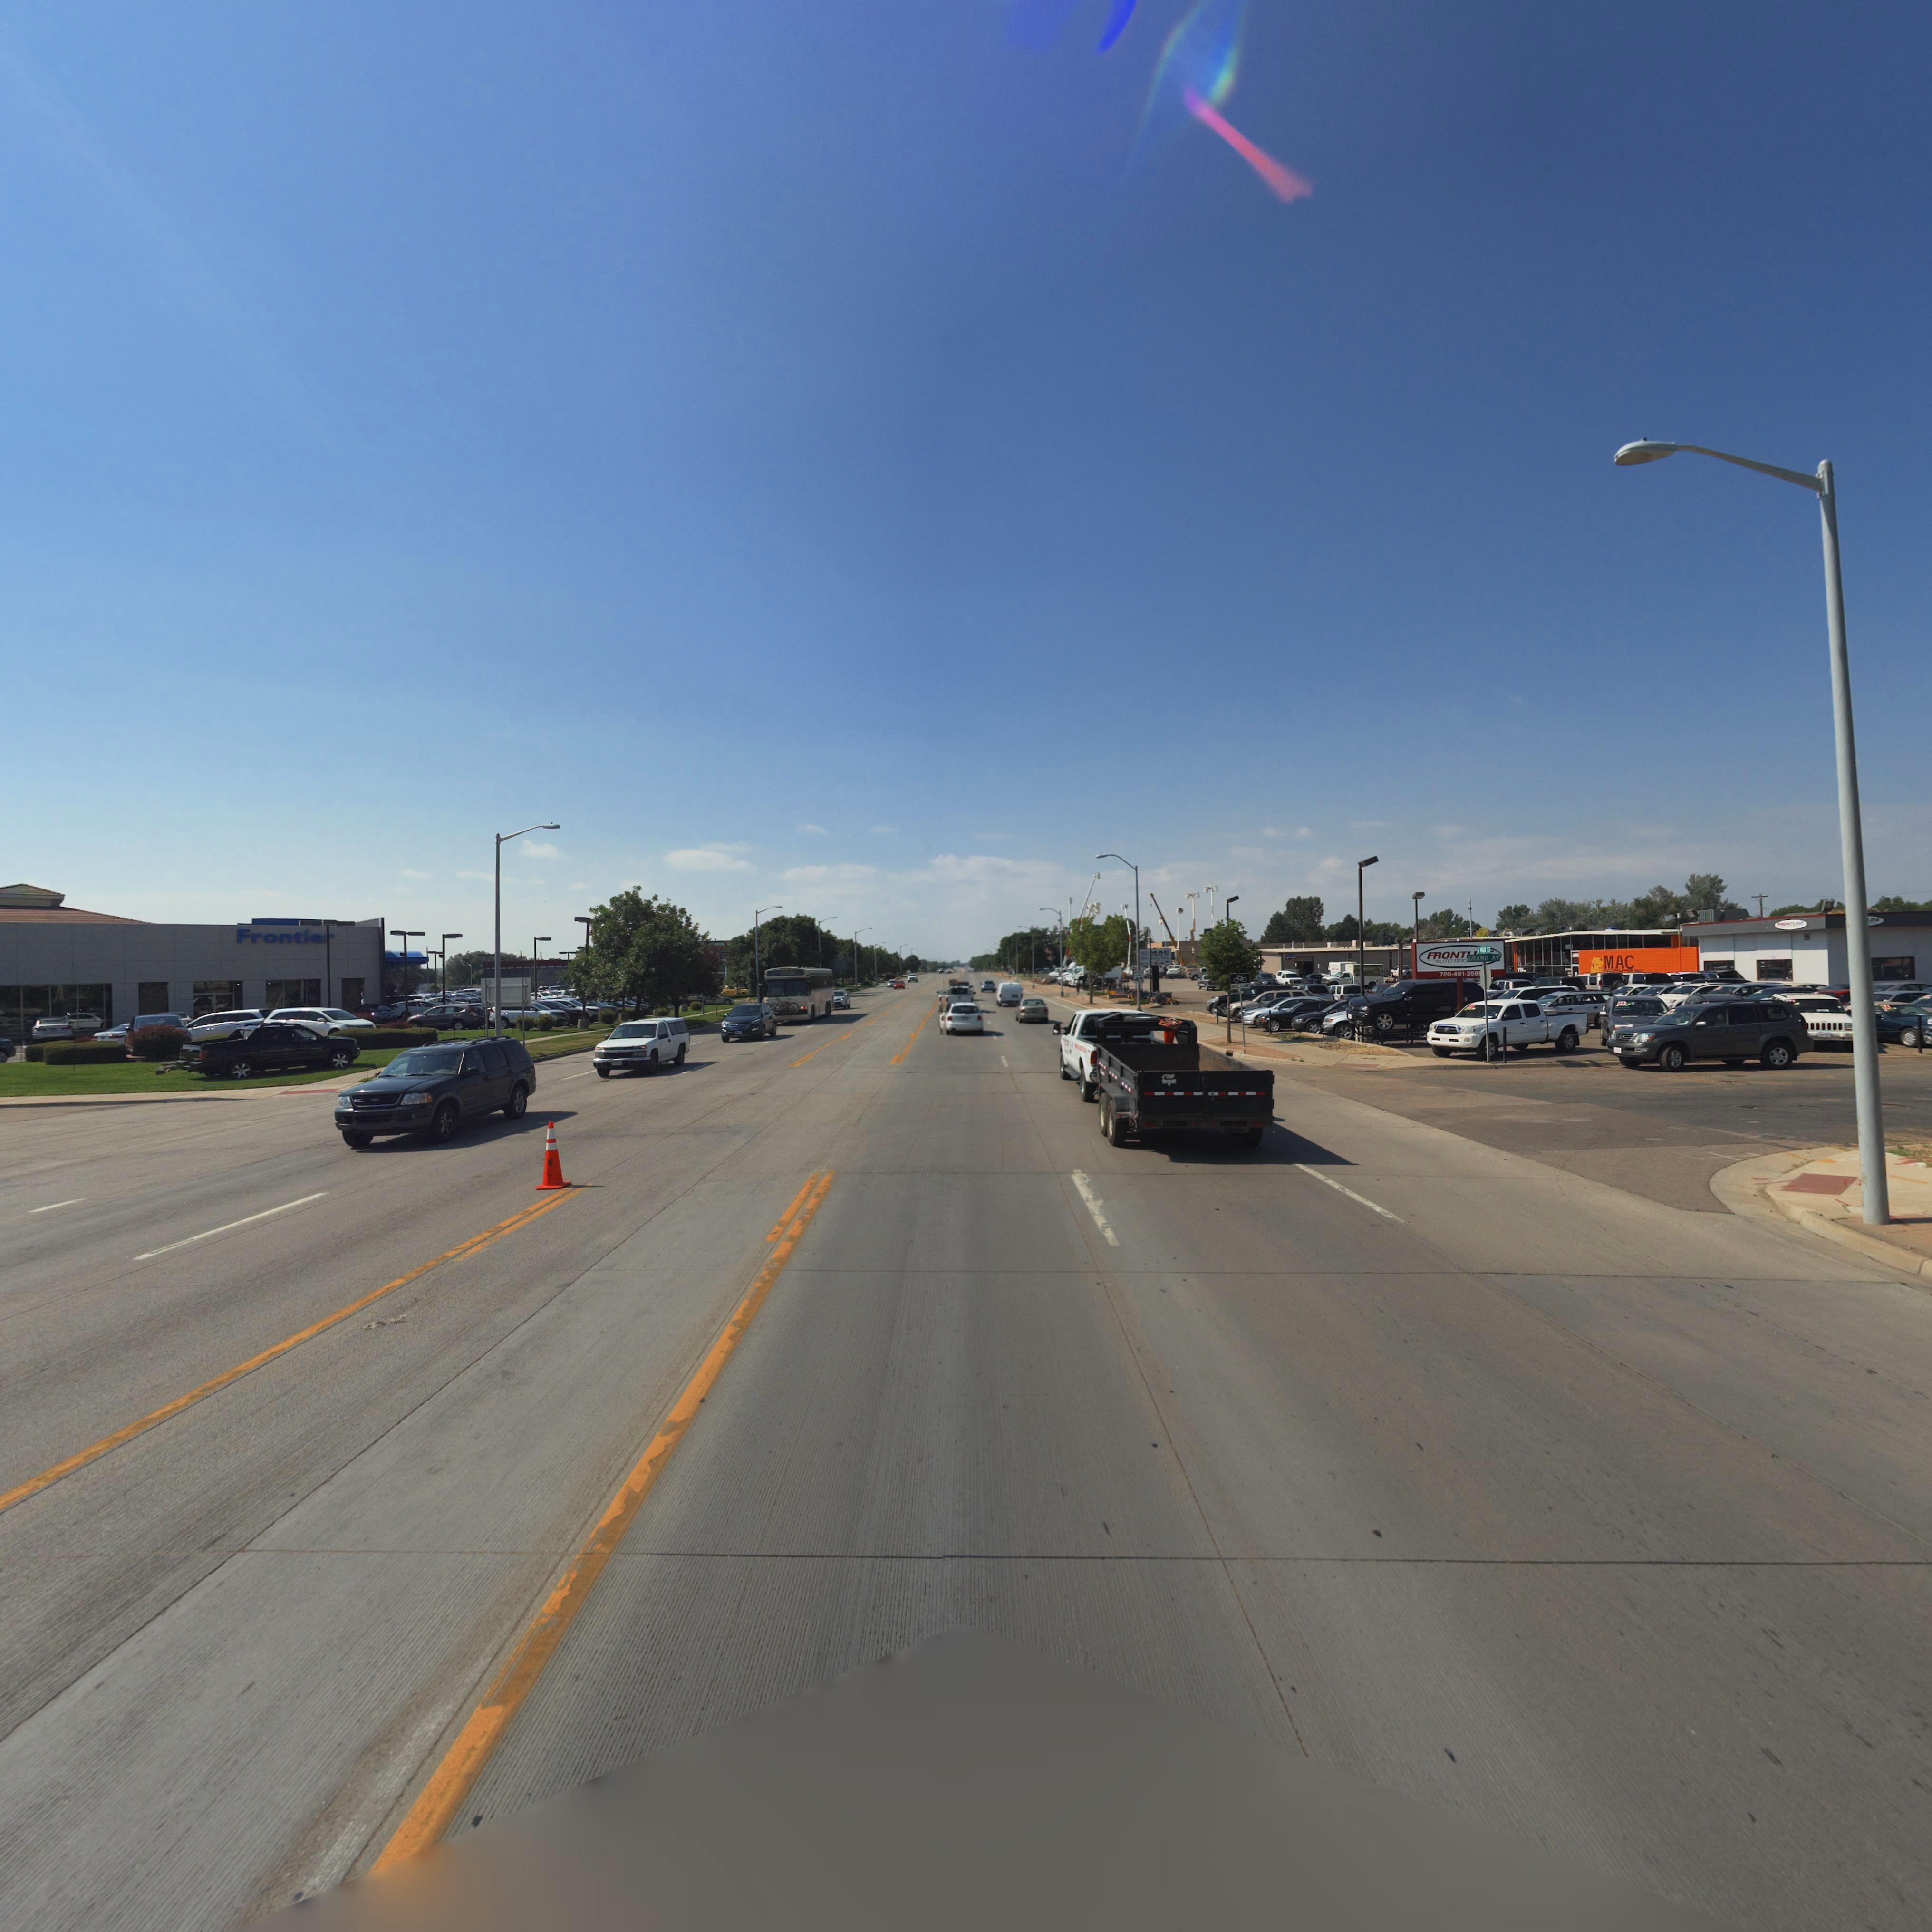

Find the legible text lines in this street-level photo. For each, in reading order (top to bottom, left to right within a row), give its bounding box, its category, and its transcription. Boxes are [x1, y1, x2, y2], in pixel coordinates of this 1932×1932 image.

[235, 928, 335, 944] BusinessName: Frontie*
[1150, 950, 1169, 954] StreetNumber: MAC
[1426, 951, 1468, 959] BusinessName: FRONT
[1434, 958, 1468, 964] BusinessName: AUTO BRO
[1468, 955, 1499, 961] StreetName: GRAND AV
[1603, 955, 1634, 969] BusinessName: MAC